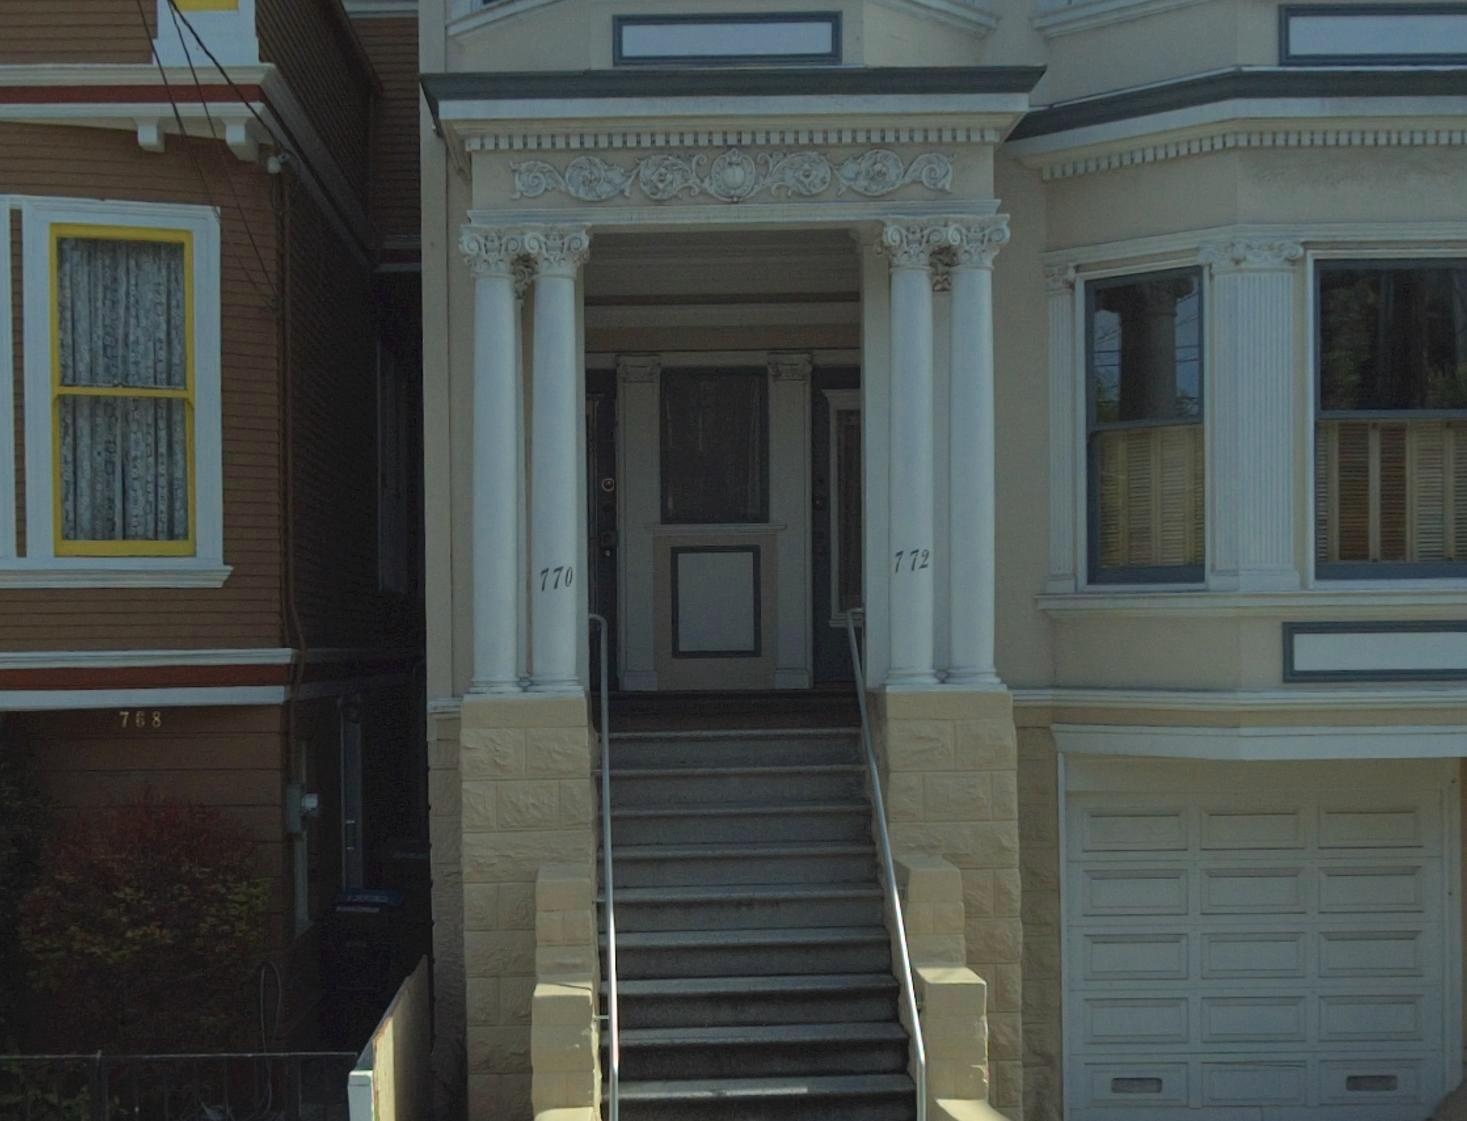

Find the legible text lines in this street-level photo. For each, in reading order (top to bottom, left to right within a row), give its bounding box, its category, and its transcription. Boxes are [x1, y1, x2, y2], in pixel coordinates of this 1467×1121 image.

[891, 545, 932, 578] StreetNumber: 772
[538, 561, 576, 596] StreetNumber: 770
[116, 709, 165, 731] StreetNumber: 768